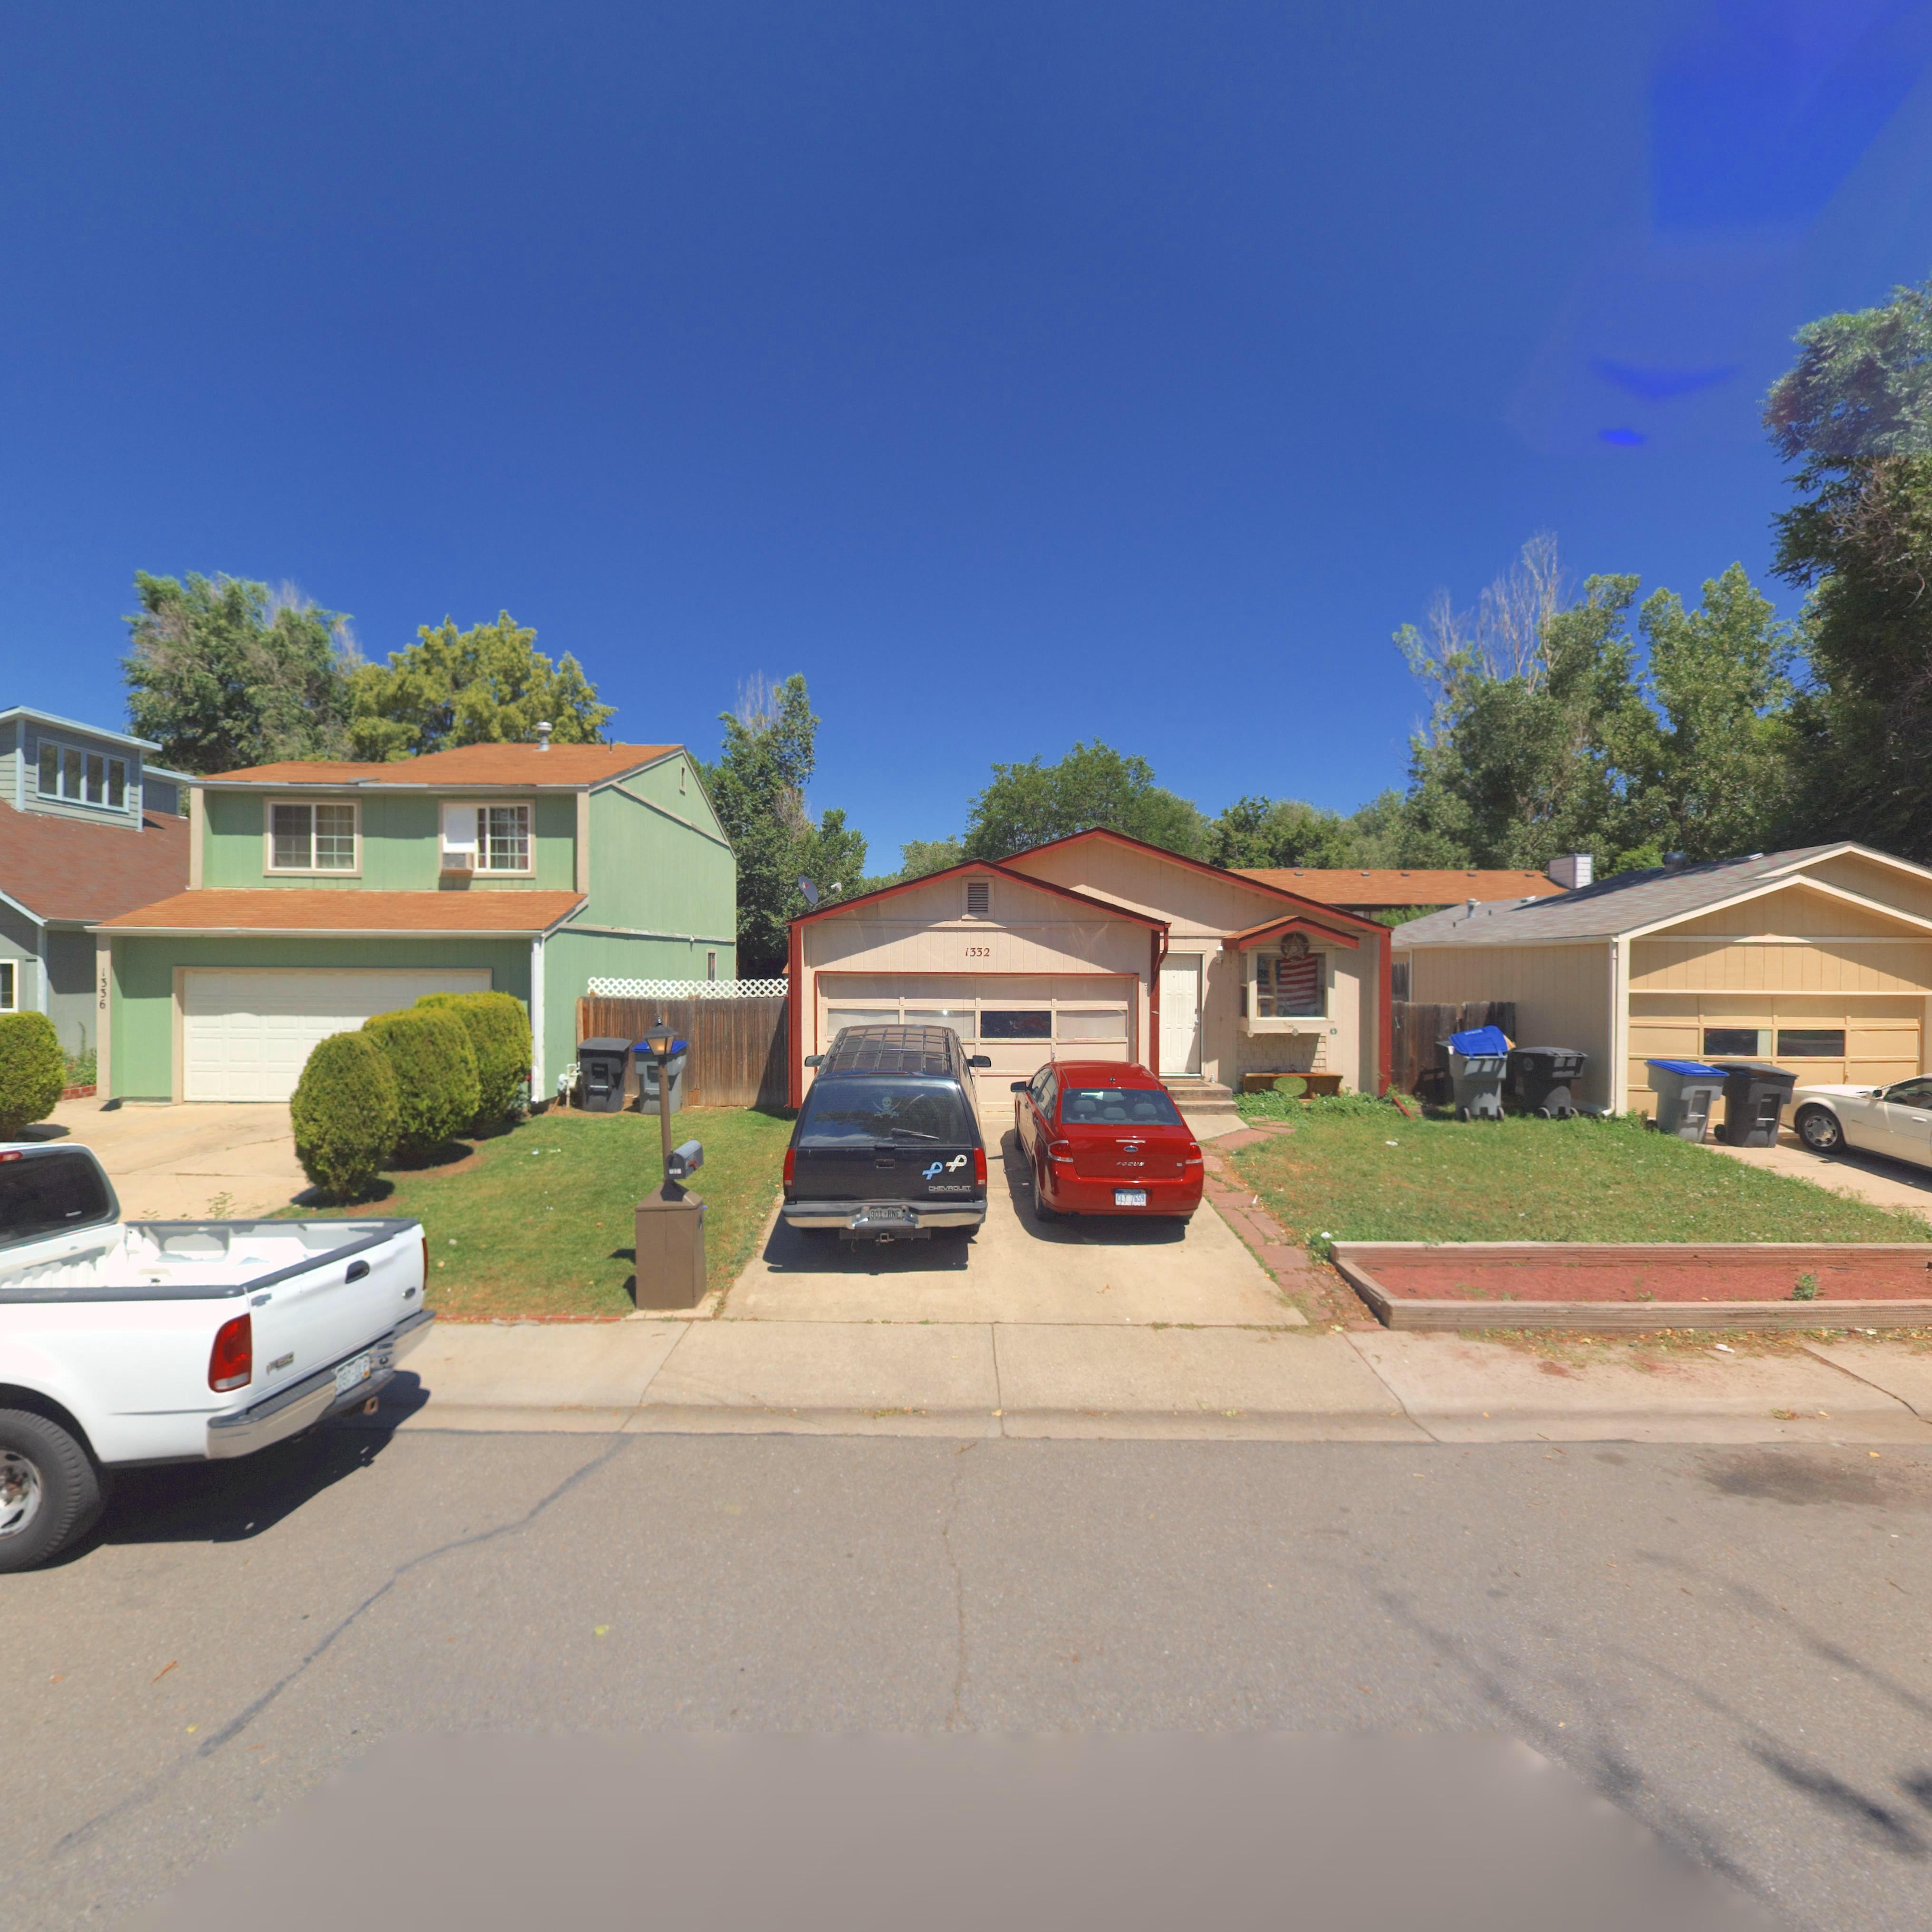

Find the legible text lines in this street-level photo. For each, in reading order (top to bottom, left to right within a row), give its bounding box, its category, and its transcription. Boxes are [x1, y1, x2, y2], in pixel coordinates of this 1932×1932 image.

[965, 947, 990, 956] StreetNumber: 1332
[99, 966, 107, 1010] StreetNumber: 1336
[669, 1168, 678, 1174] StreetNumber: 133